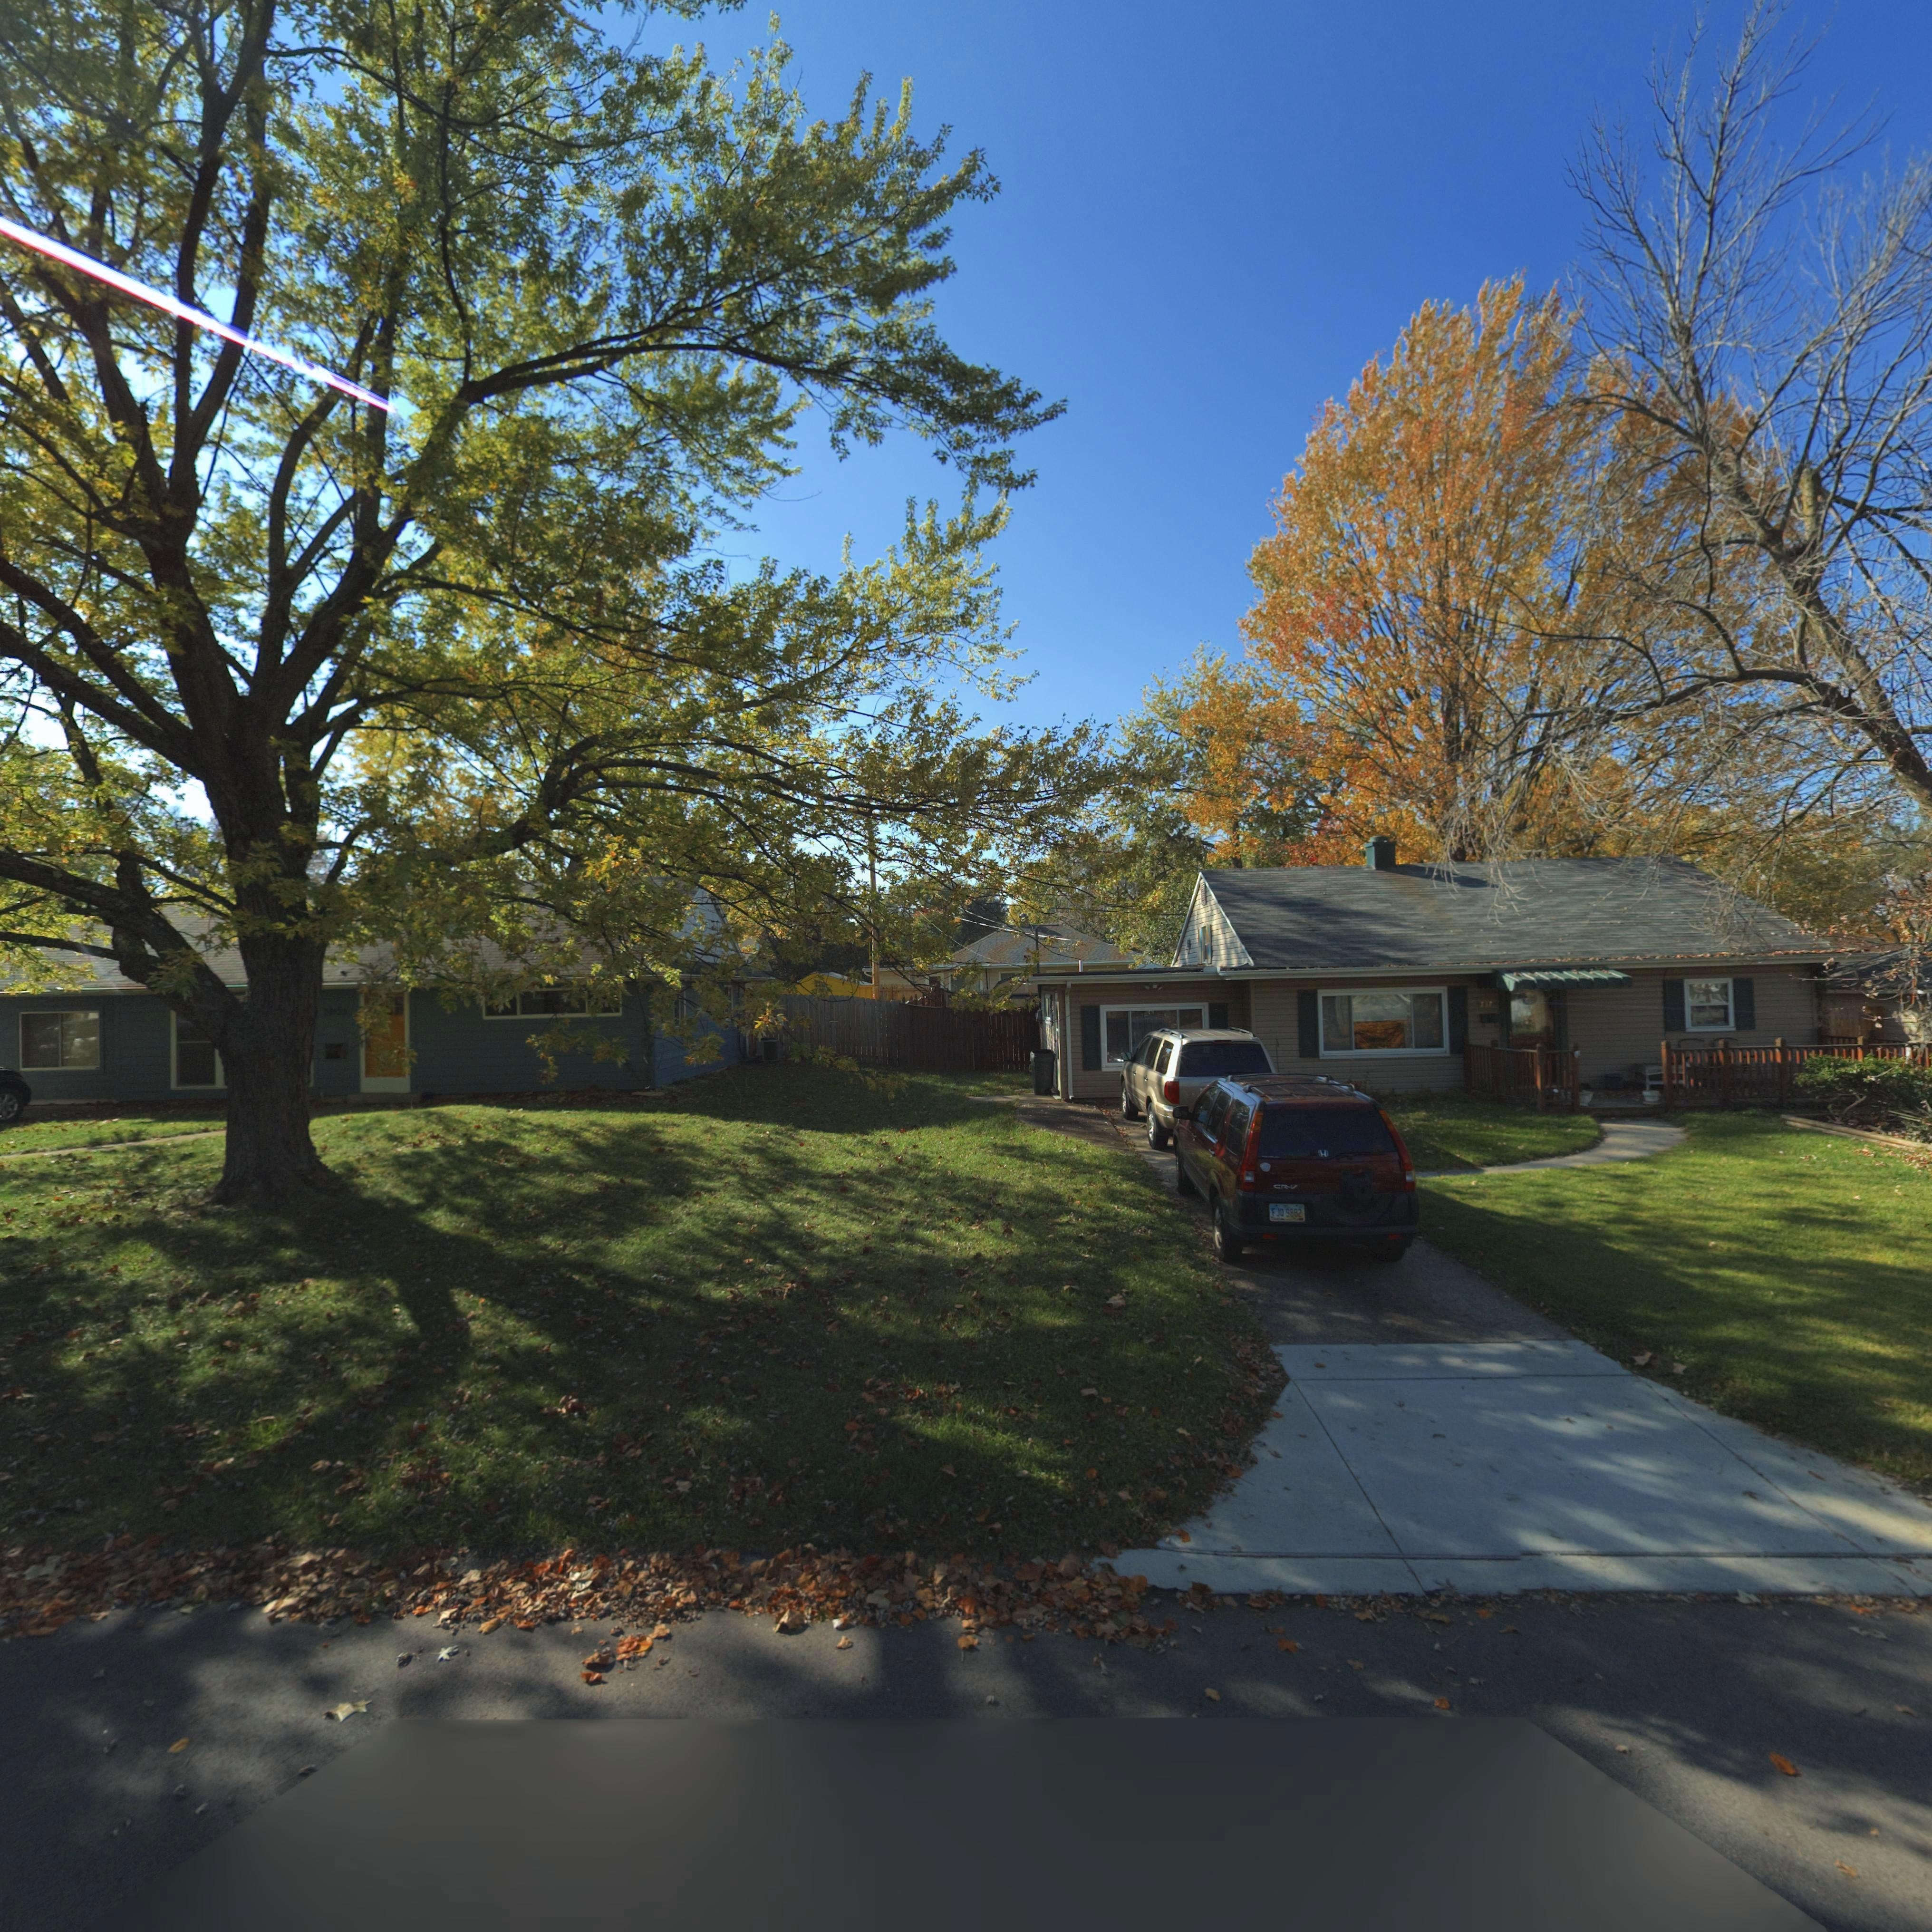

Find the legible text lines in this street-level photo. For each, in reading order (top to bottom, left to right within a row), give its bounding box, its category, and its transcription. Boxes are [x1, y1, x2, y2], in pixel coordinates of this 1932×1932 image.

[1478, 1000, 1493, 1009] StreetNumber: 737
[1272, 1183, 1299, 1190] None: CR-V
[1271, 1207, 1303, 1217] None: F JO 9882